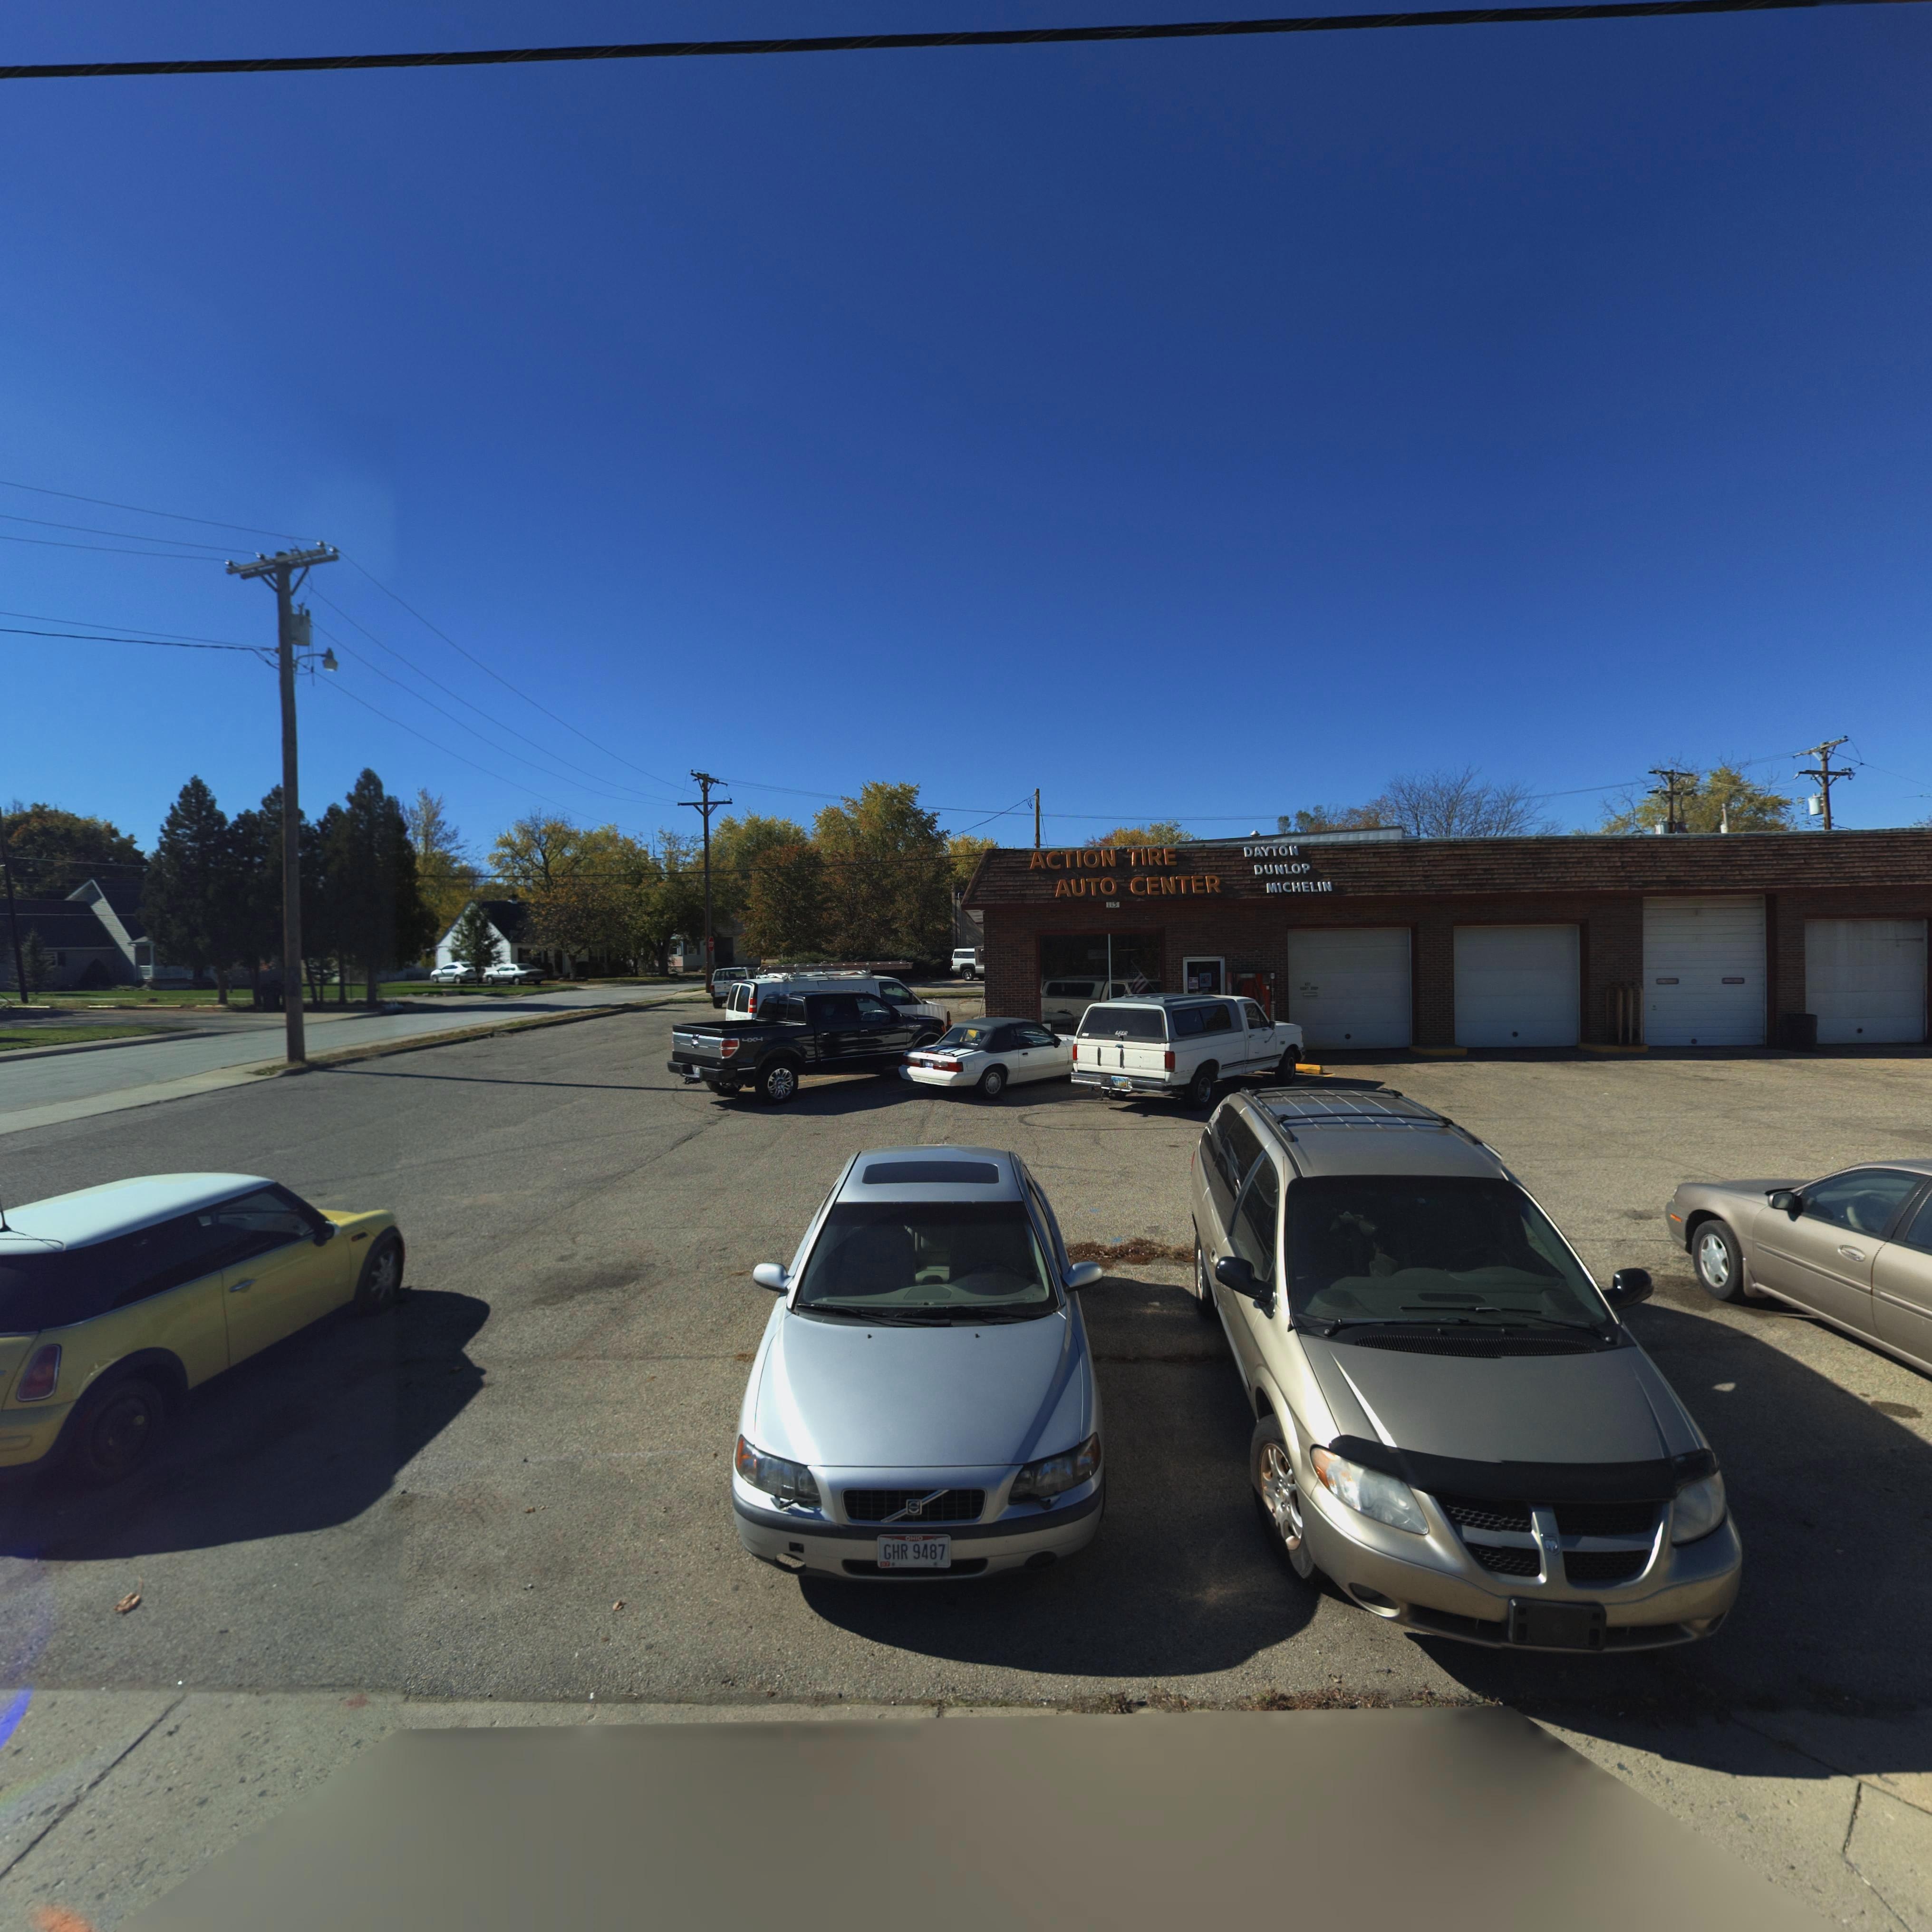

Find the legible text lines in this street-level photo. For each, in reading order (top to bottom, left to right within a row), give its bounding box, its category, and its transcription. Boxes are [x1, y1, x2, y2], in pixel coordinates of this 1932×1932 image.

[1028, 847, 1178, 870] BusinessName: ACTION TIRE
[1053, 875, 1223, 899] BusinessName: AUTO CENTER
[1107, 901, 1117, 908] StreetNumber: 113